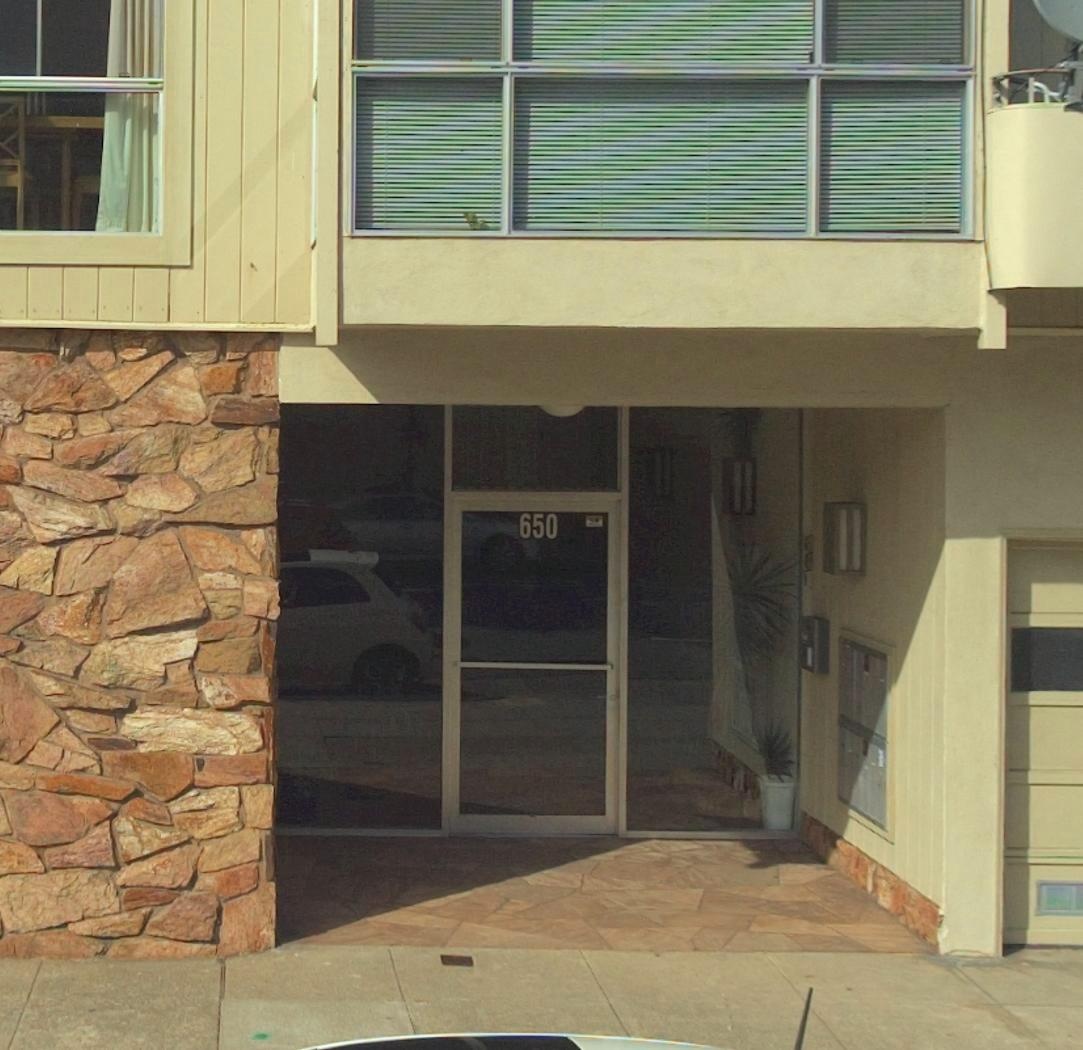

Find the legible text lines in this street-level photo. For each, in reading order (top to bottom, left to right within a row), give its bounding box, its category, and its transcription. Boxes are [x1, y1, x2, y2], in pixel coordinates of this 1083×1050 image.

[517, 511, 560, 542] StreetNumber: 650